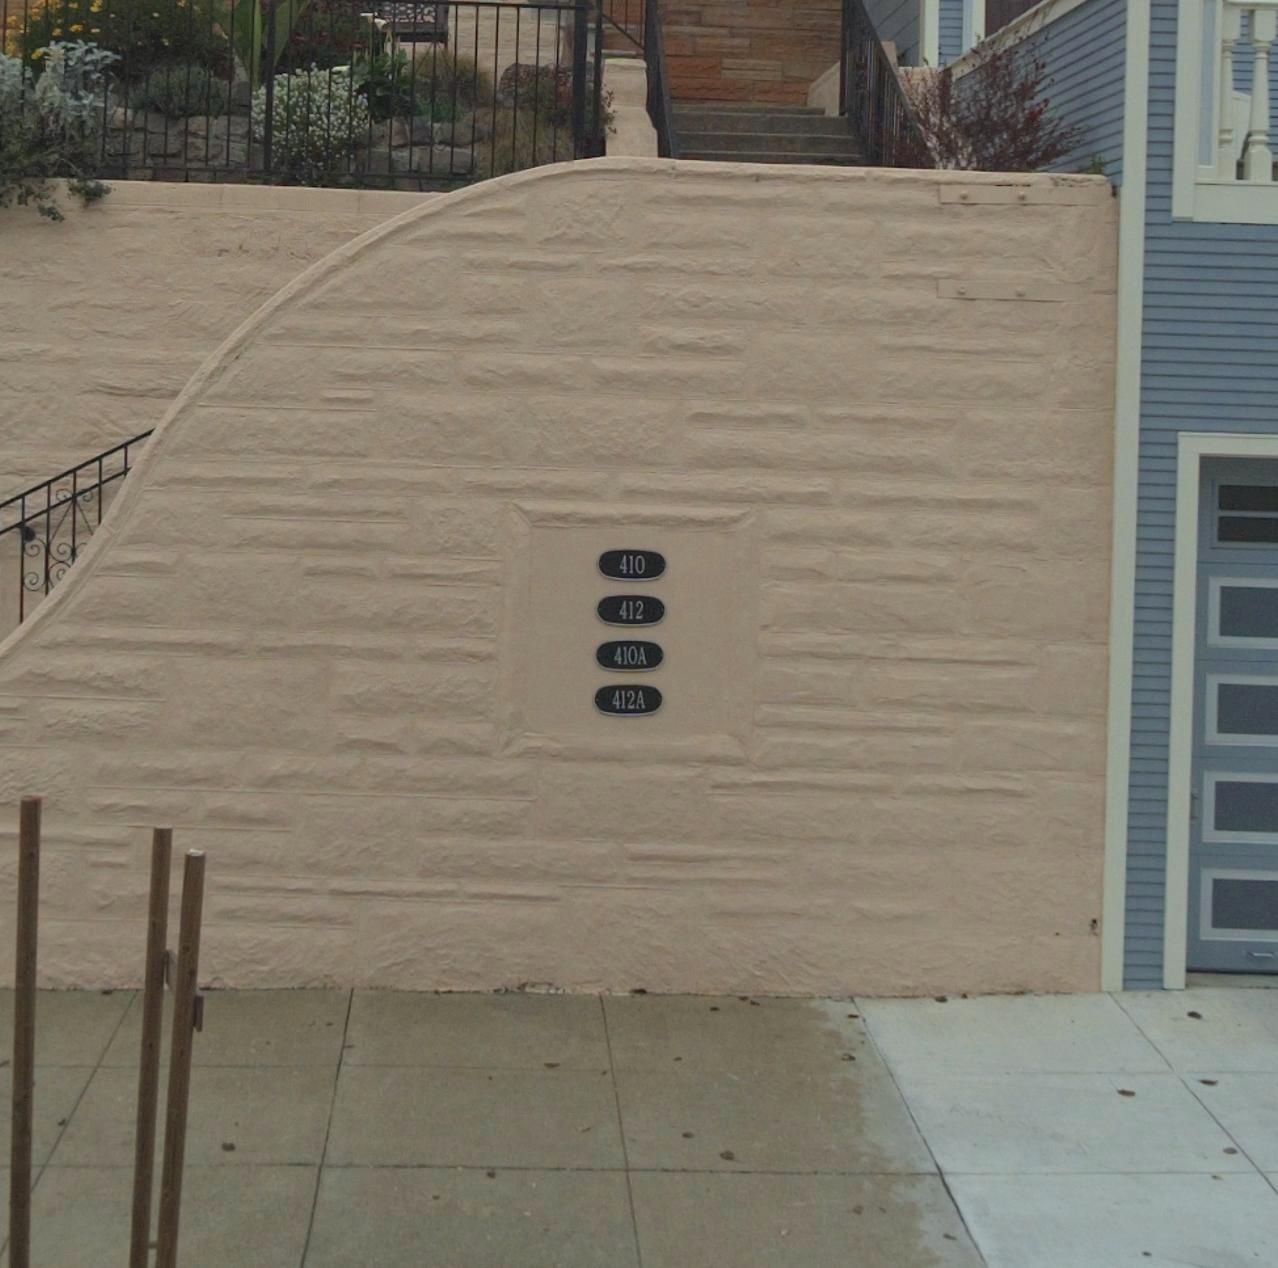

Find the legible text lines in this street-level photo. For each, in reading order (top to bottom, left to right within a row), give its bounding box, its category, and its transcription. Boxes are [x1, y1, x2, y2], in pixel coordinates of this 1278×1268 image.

[618, 553, 647, 576] StreetNumber: 410
[618, 599, 646, 622] StreetNumber: 412
[612, 644, 648, 667] StreetNumber: 410A
[611, 688, 647, 711] StreetNumber: 412A